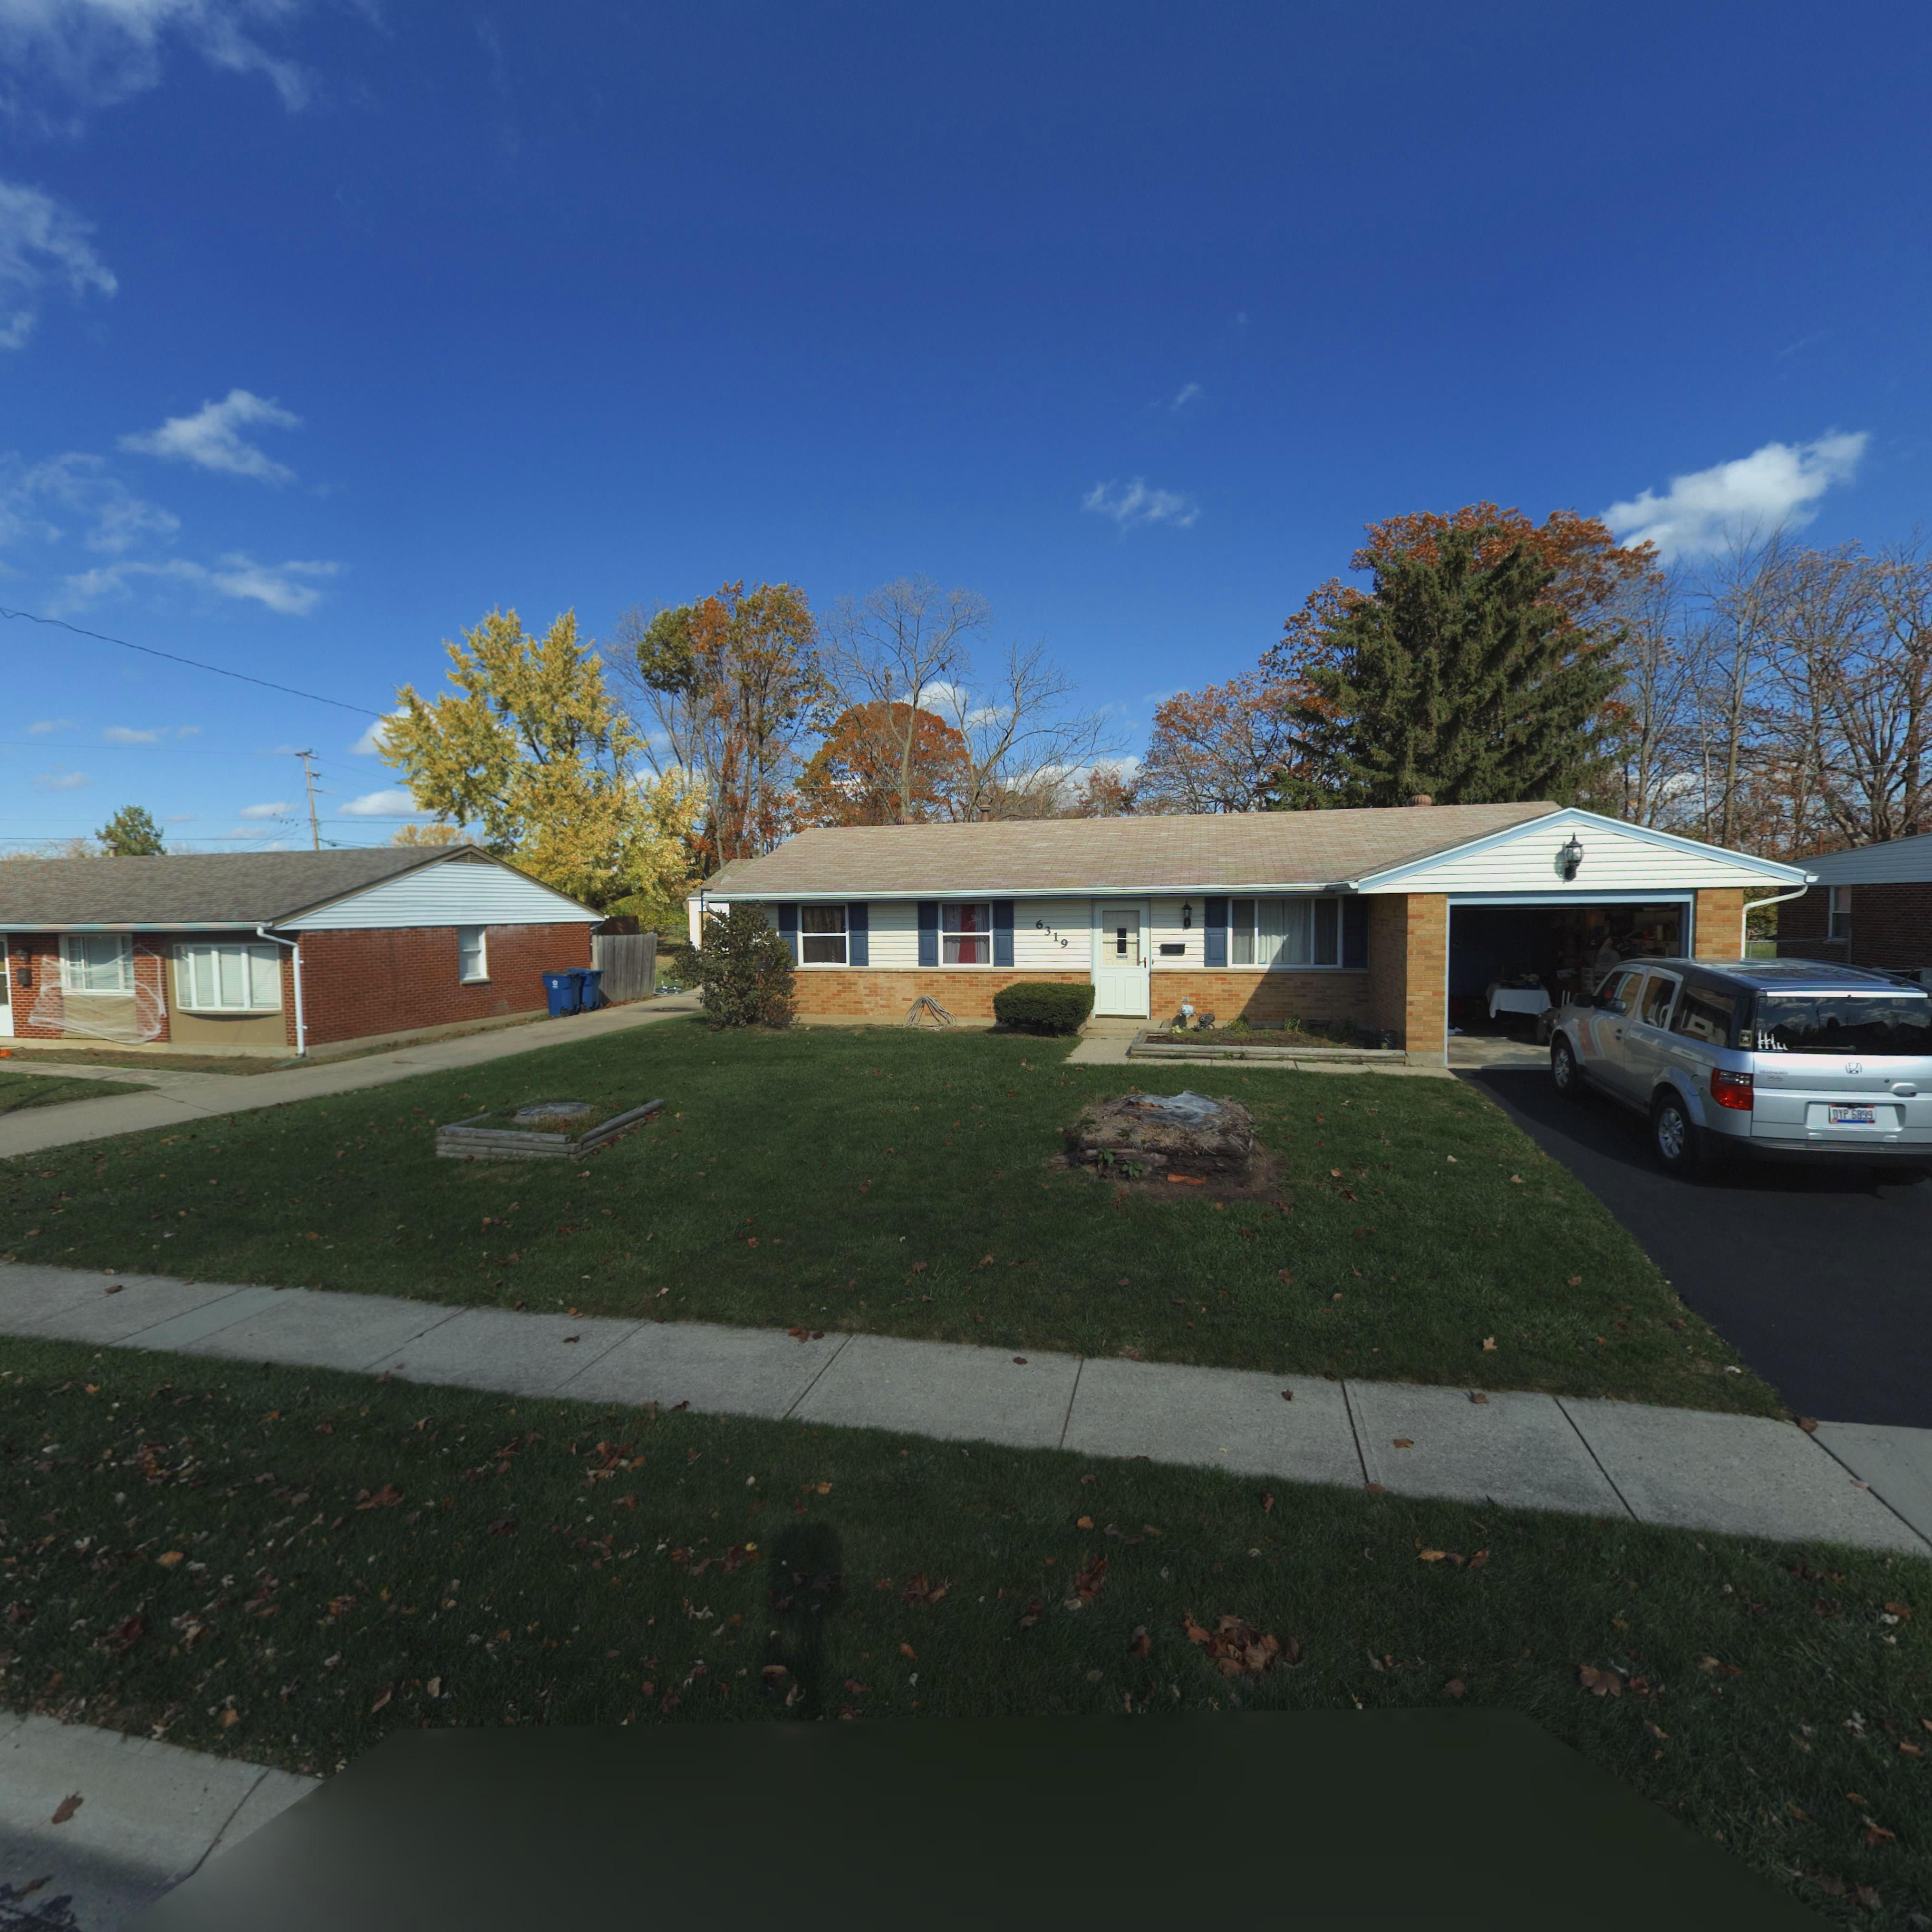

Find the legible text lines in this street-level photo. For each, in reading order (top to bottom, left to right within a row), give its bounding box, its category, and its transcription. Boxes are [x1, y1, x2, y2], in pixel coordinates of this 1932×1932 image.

[1035, 918, 1069, 949] StreetNumber: 6319